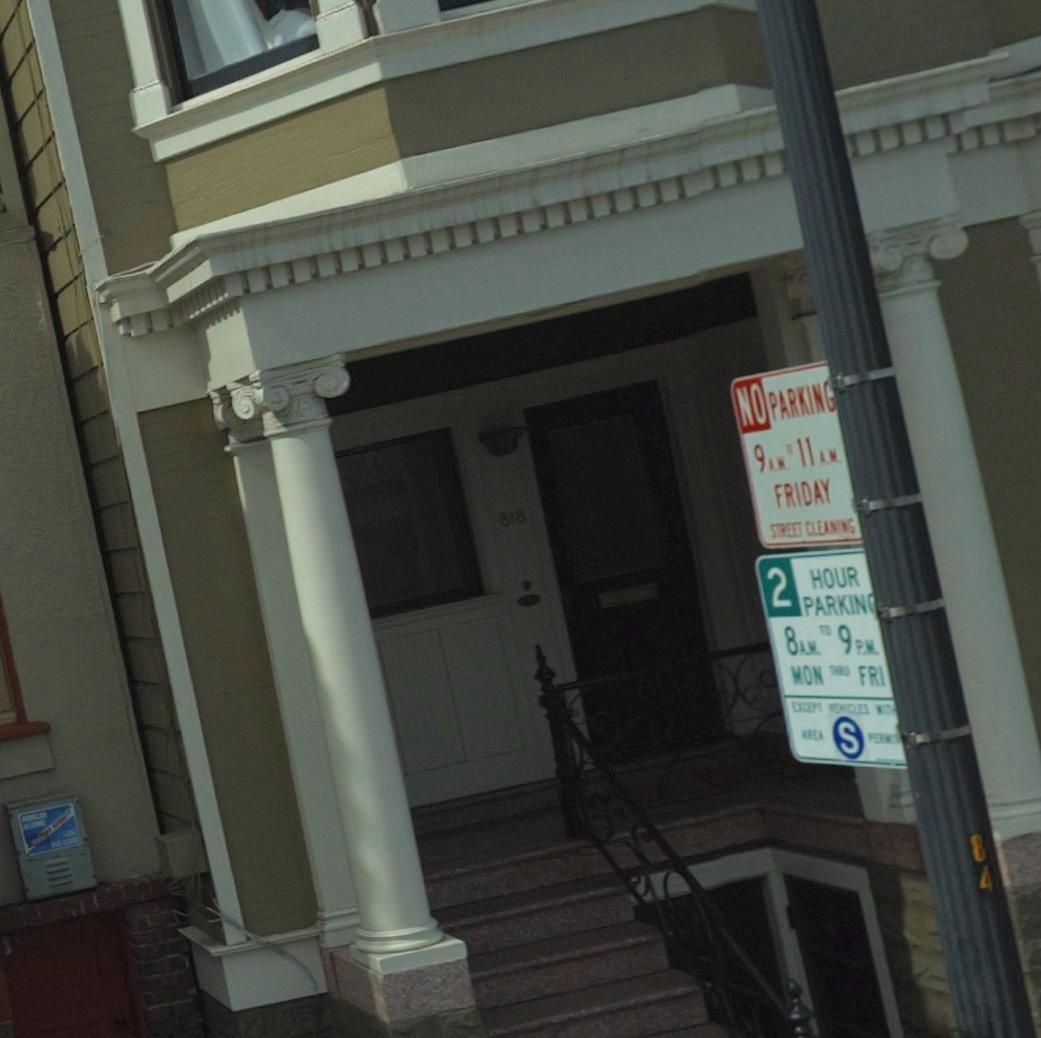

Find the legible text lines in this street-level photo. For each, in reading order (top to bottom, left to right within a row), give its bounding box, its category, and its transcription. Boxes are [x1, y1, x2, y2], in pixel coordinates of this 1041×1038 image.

[732, 381, 771, 430] None: NO
[765, 379, 839, 425] None: PARKING
[750, 442, 770, 477] None: 9
[767, 455, 792, 475] None: A.M.
[783, 442, 796, 456] None: TO
[794, 434, 817, 470] None: 11
[817, 445, 843, 467] None: A.M.
[770, 474, 834, 511] None: FRIDAY
[495, 507, 529, 531] StreetNumber: 818
[767, 517, 859, 541] None: STREET CLEANING
[763, 565, 795, 610] None: 2
[807, 565, 864, 593] None: HOUR
[800, 592, 881, 619] None: PARKIN*
[781, 624, 800, 658] None: 8
[798, 639, 825, 659] None: A.M.
[818, 624, 836, 638] None: TO
[836, 623, 854, 656] None: 9
[853, 639, 882, 657] None: P.M.
[788, 664, 827, 688] None: MON
[827, 664, 853, 677] None: THRU
[856, 663, 888, 688] None: FRI
[790, 700, 824, 714] None: EXCEPT
[826, 703, 871, 717] None: VEHICLES
[875, 703, 903, 719] None: WIT*
[800, 728, 827, 742] None: AREA
[835, 721, 863, 757] None: S
[866, 732, 912, 747] None: PERMI**